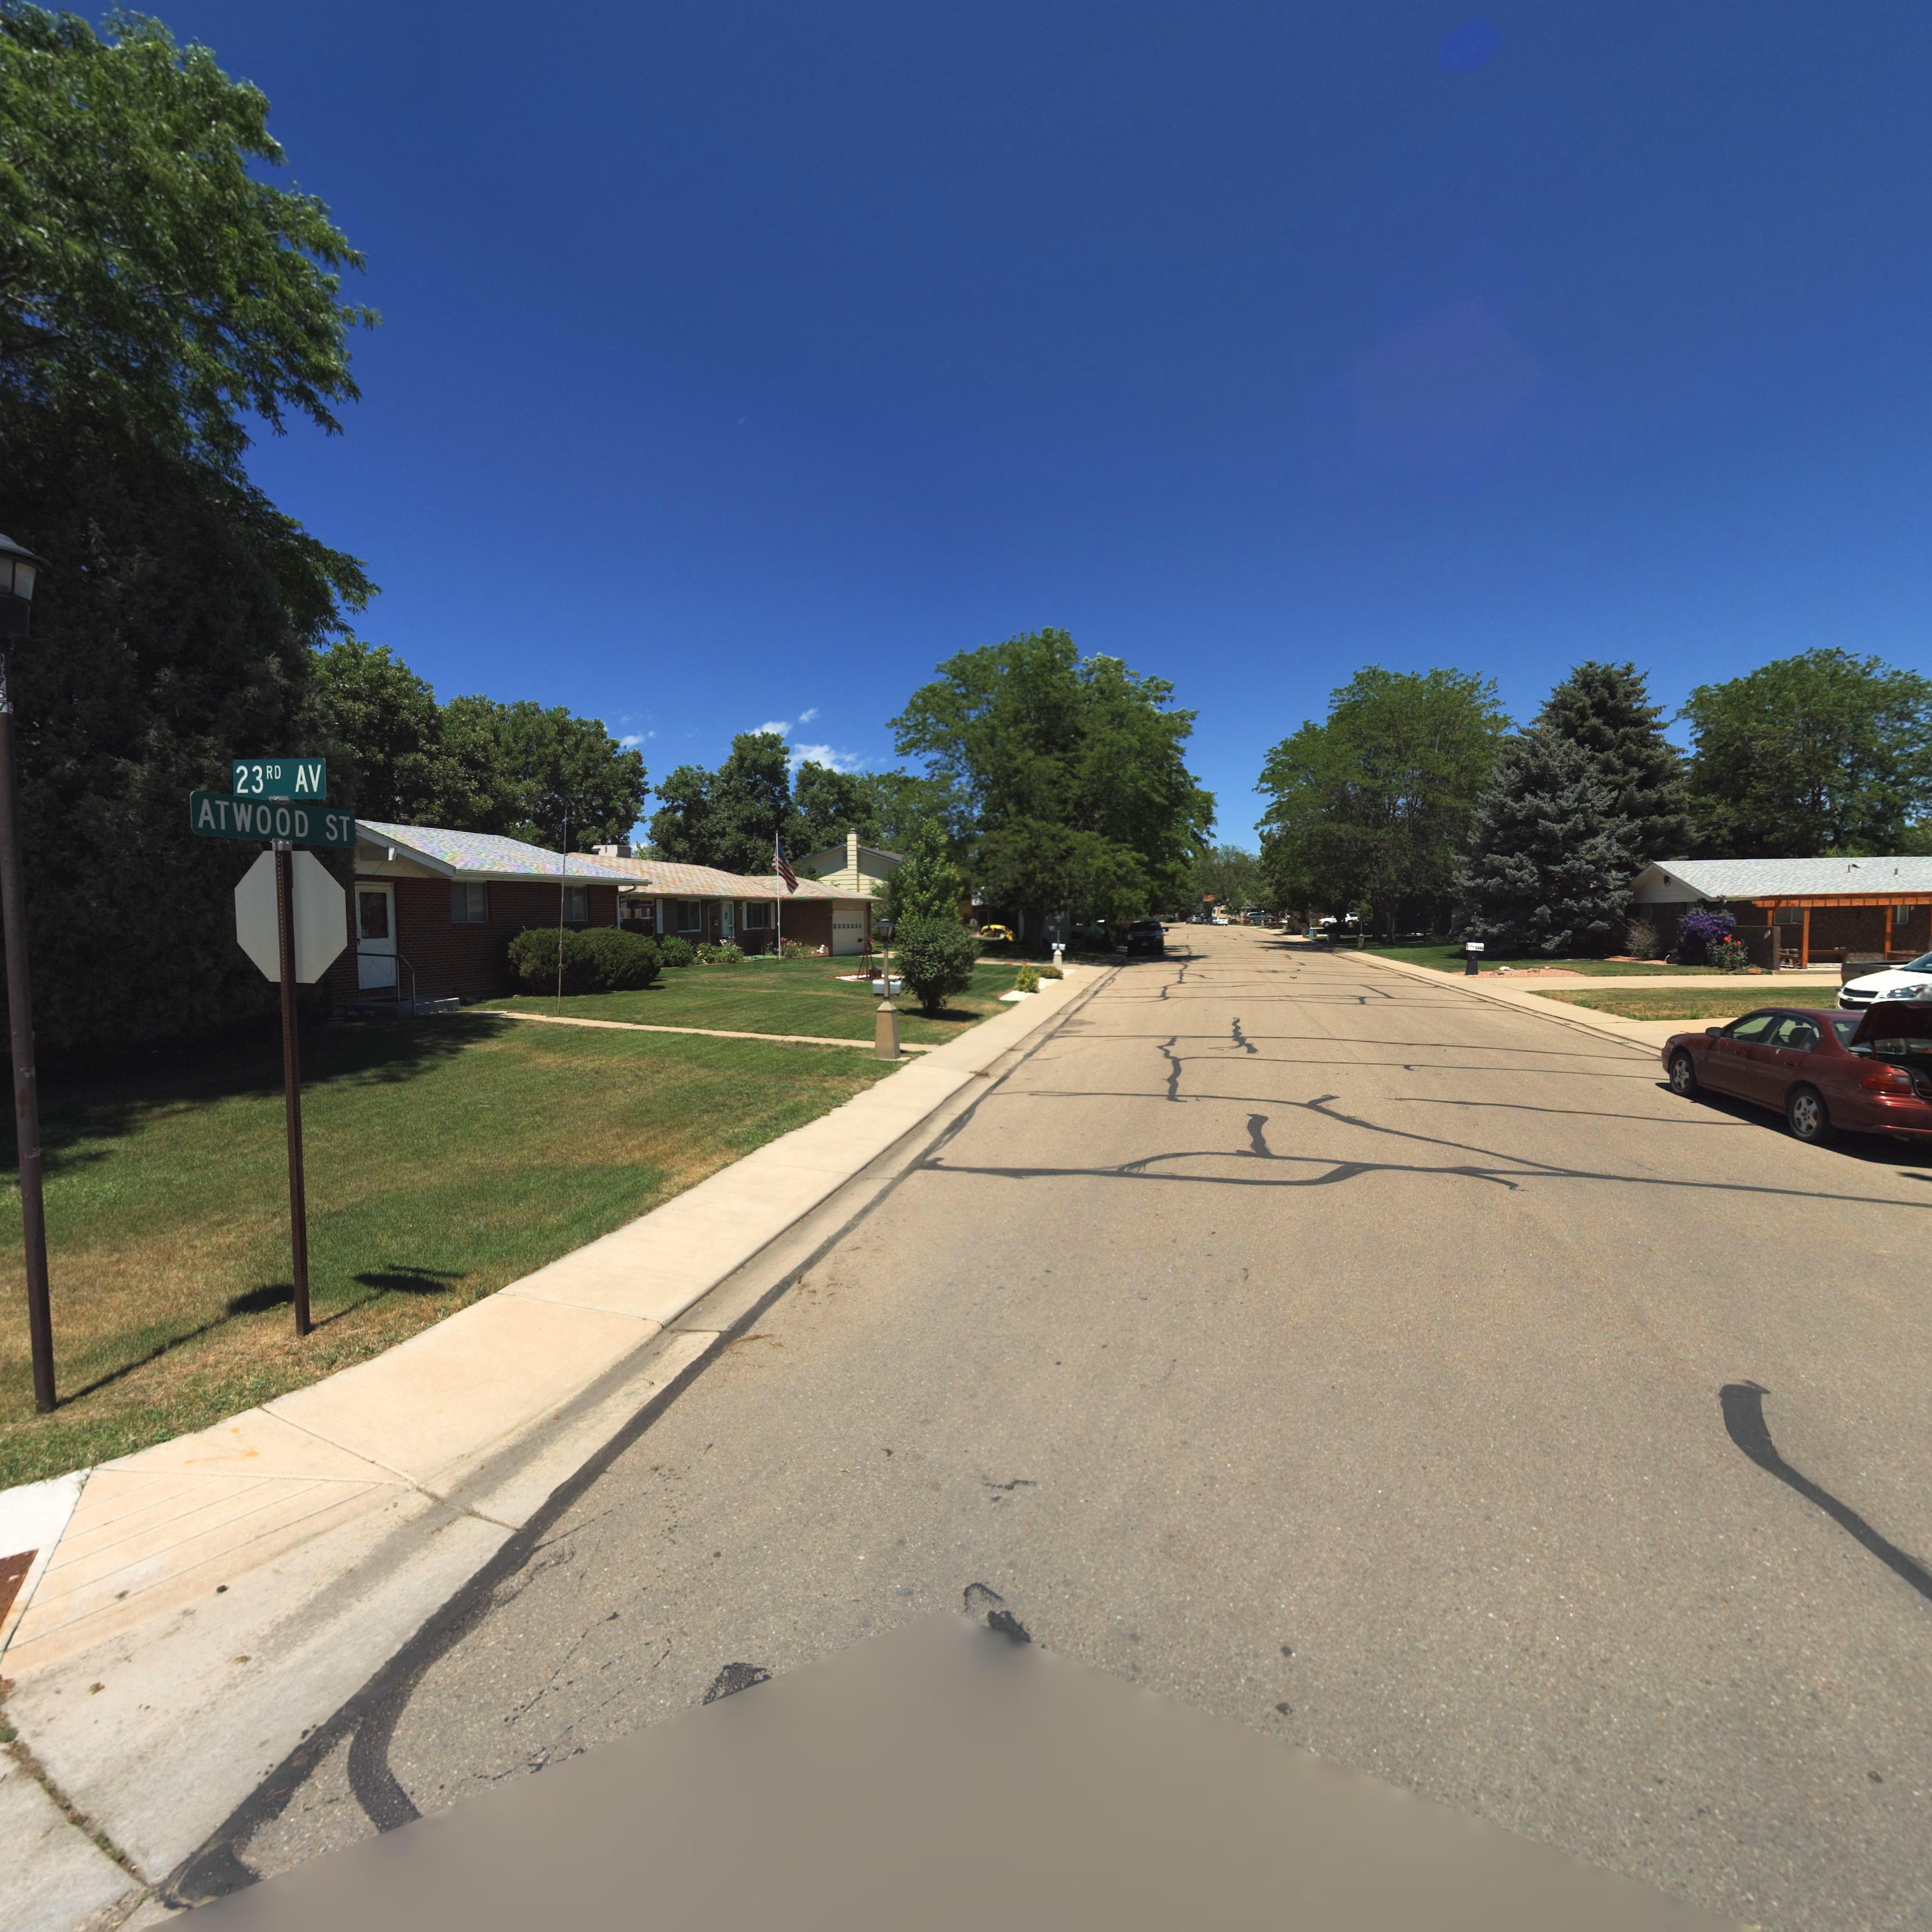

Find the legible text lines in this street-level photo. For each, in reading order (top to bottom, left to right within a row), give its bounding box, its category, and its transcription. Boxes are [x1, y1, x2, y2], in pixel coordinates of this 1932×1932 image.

[234, 761, 323, 794] StreetName: 23RD AV
[198, 798, 350, 841] StreetName: ATWOOD ST